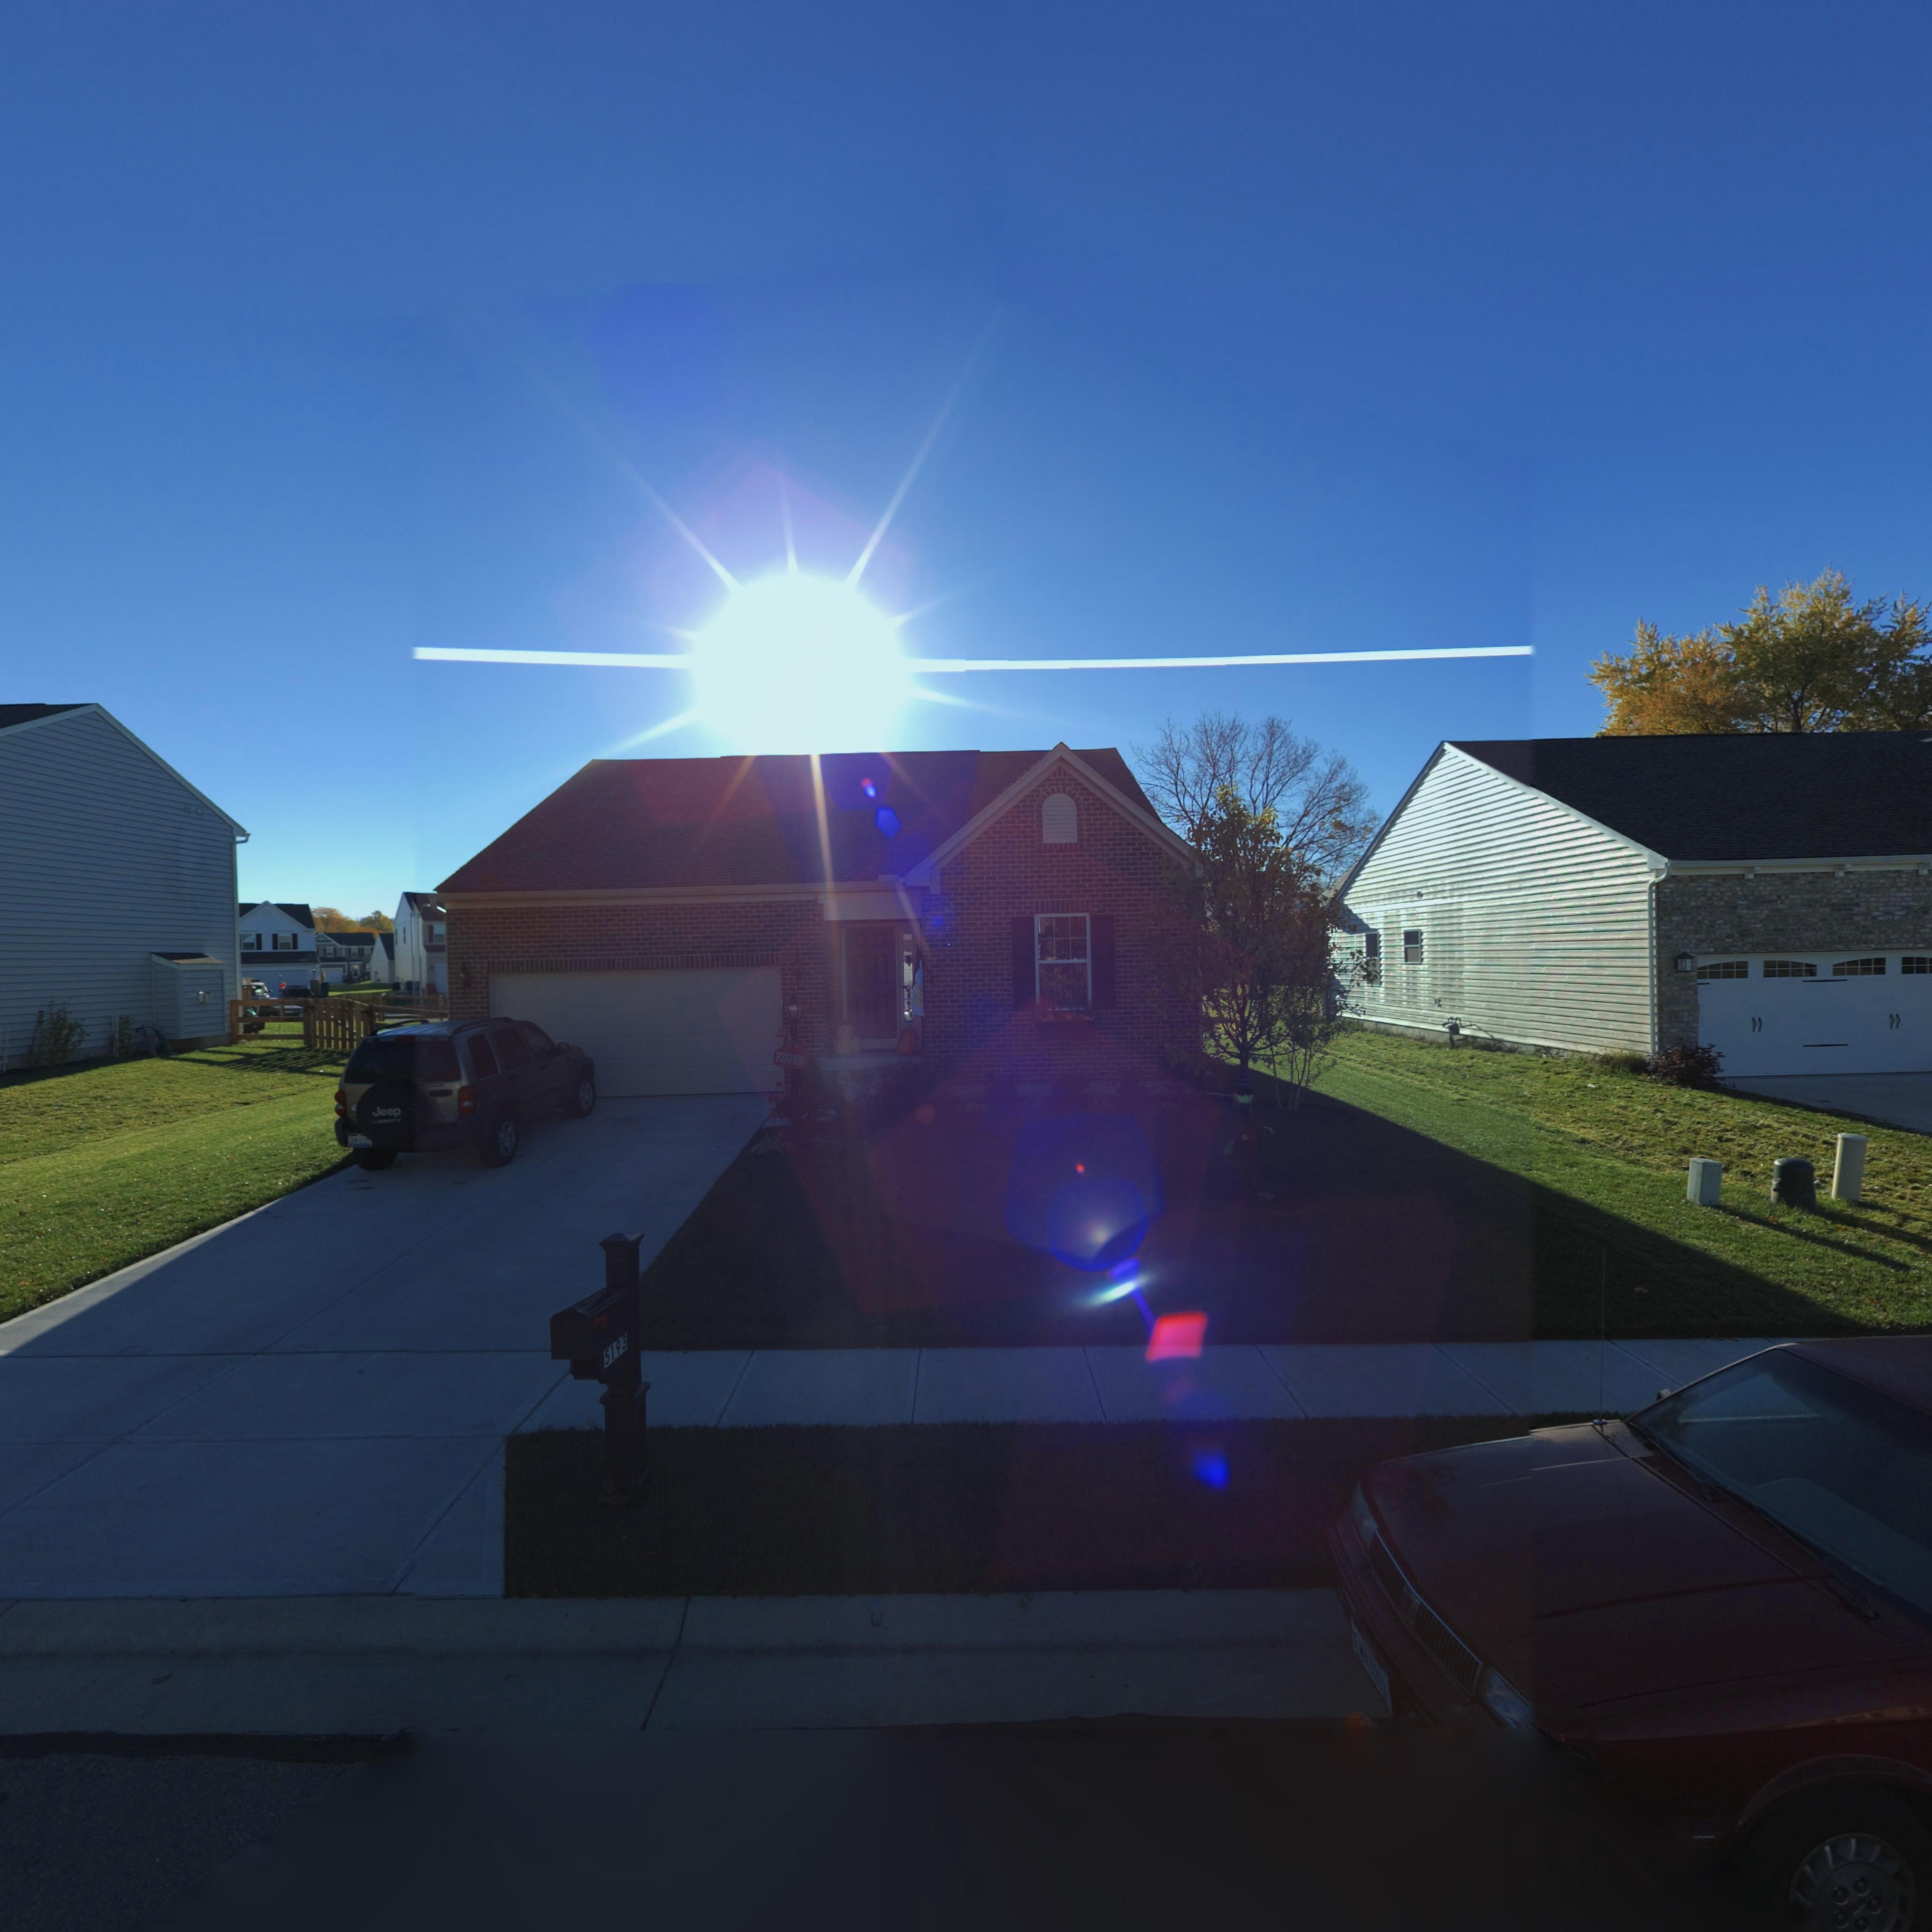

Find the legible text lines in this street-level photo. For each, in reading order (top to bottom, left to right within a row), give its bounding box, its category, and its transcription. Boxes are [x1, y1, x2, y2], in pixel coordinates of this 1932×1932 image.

[604, 1333, 628, 1367] StreetNumber: 5193